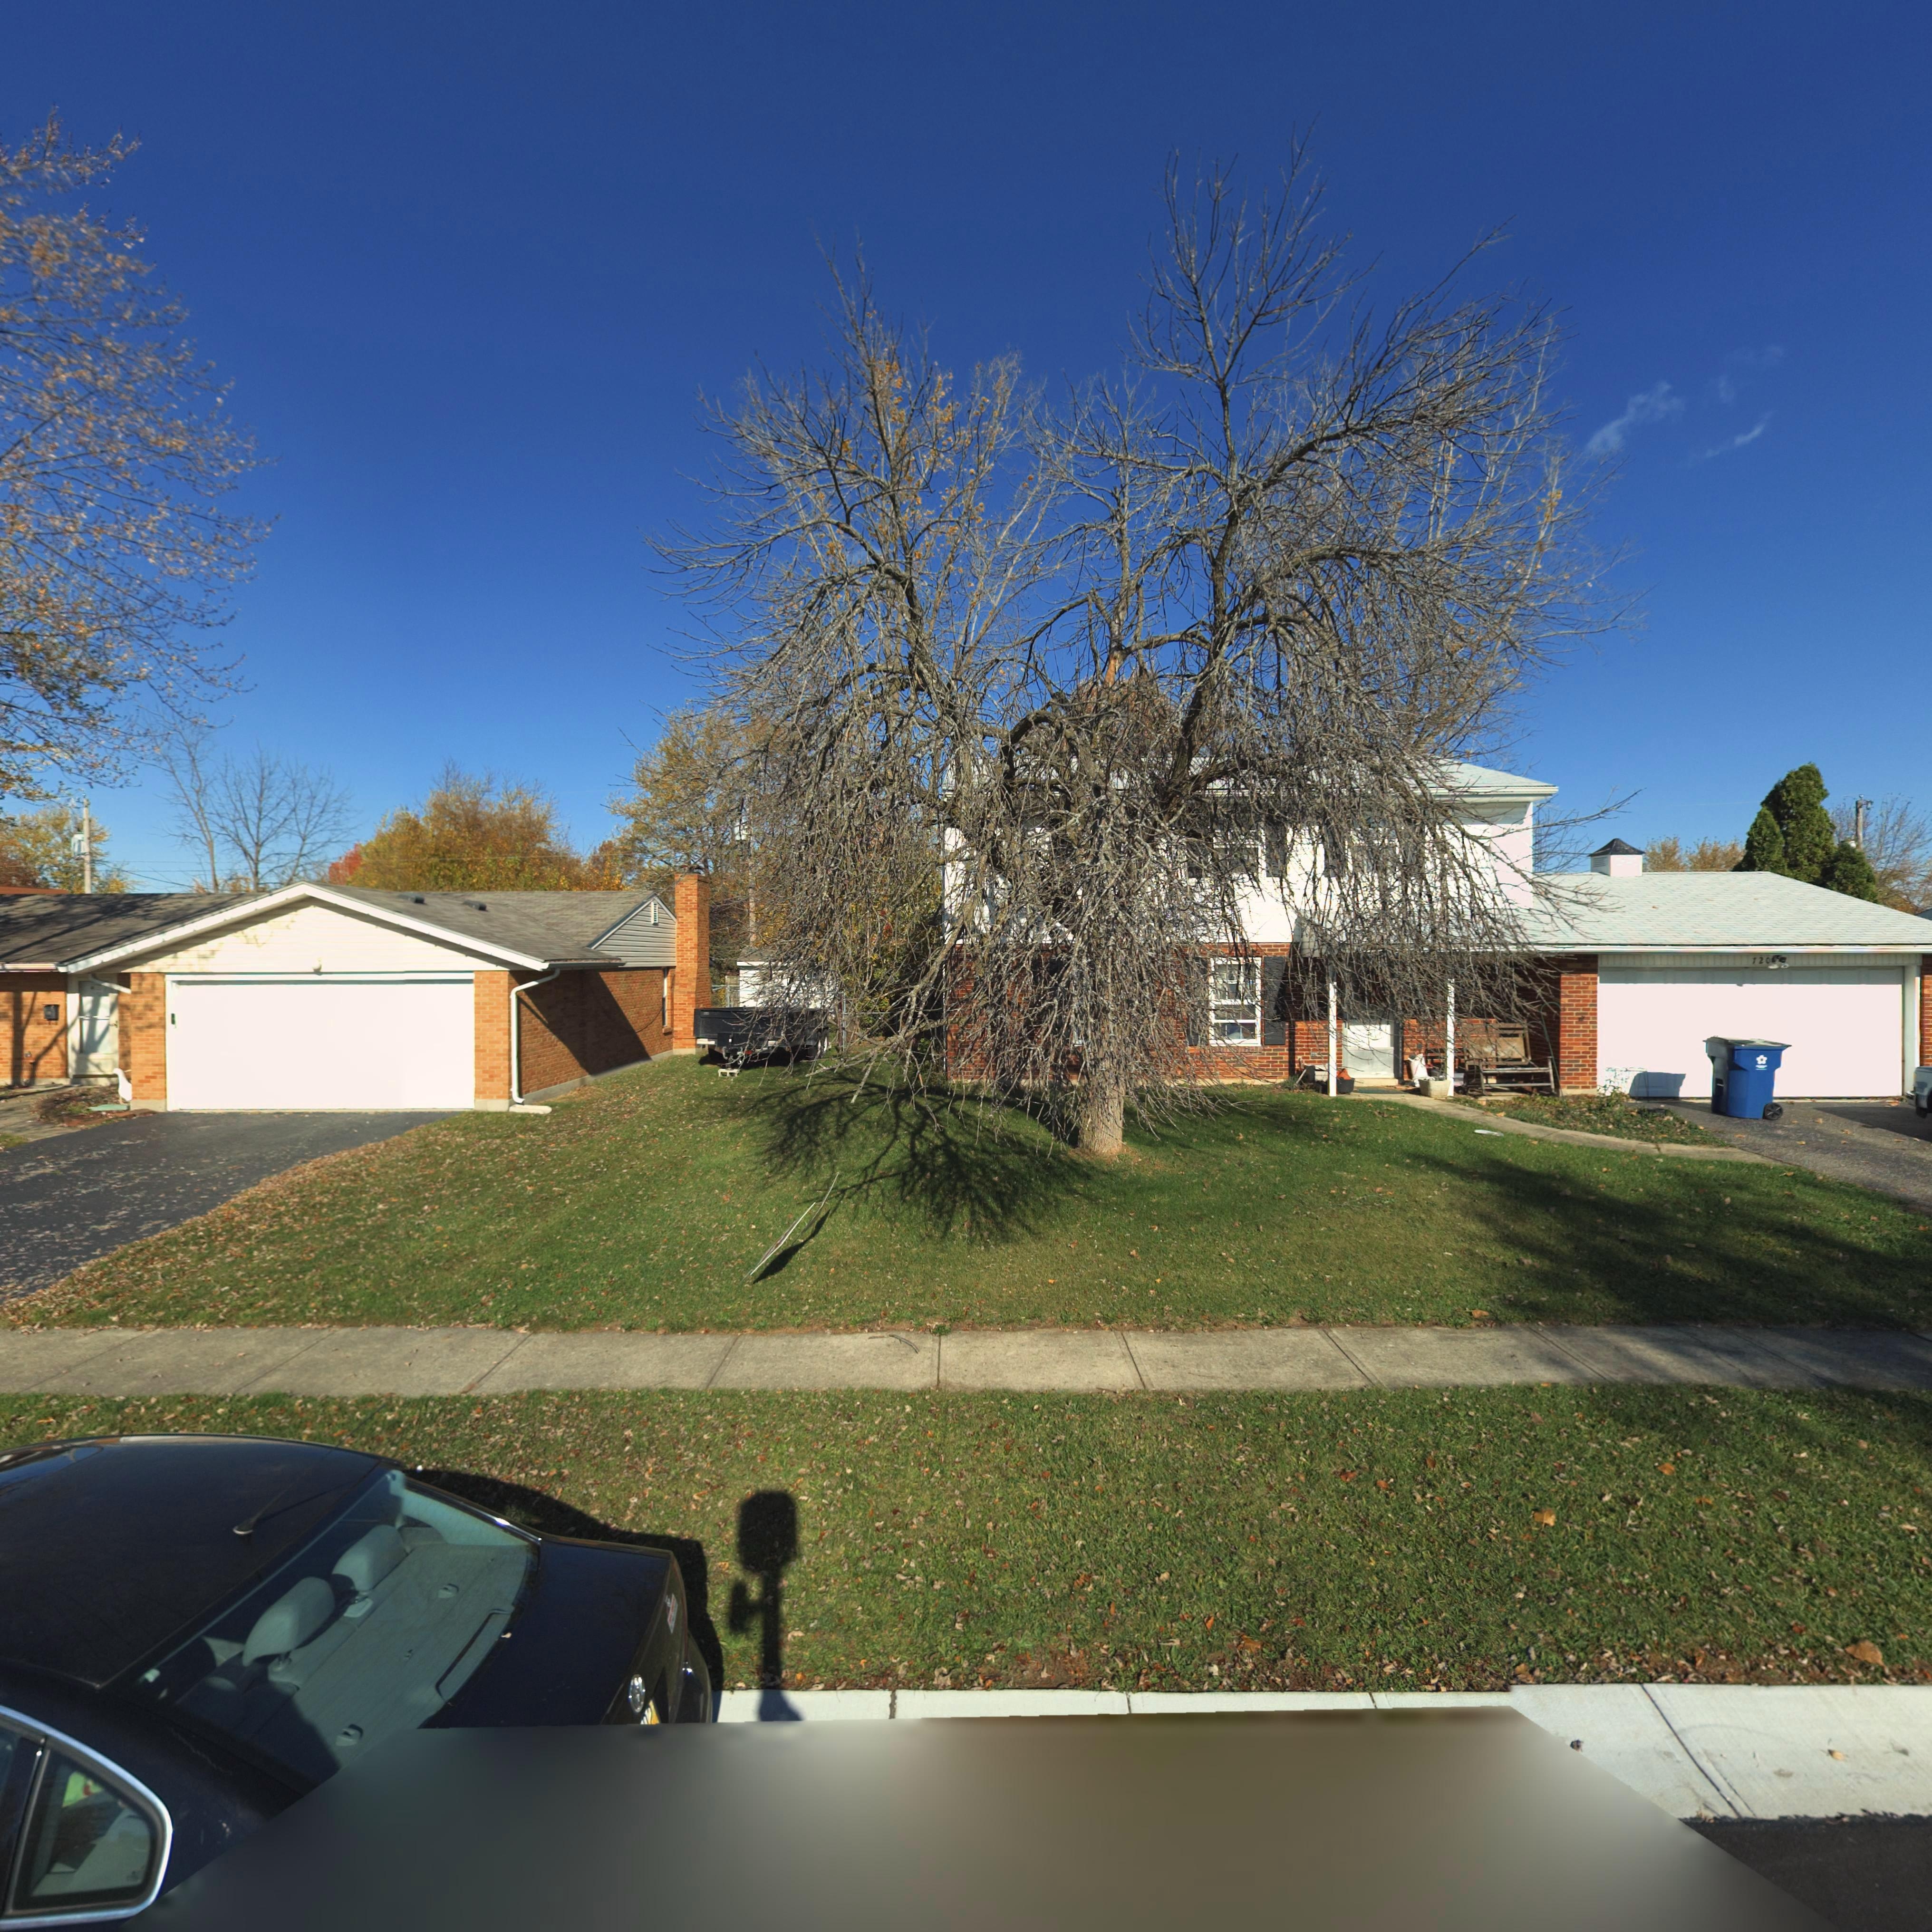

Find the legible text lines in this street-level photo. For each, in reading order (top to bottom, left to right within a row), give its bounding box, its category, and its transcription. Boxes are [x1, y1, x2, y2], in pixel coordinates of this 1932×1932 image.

[1752, 956, 1771, 965] StreetNumber: 720